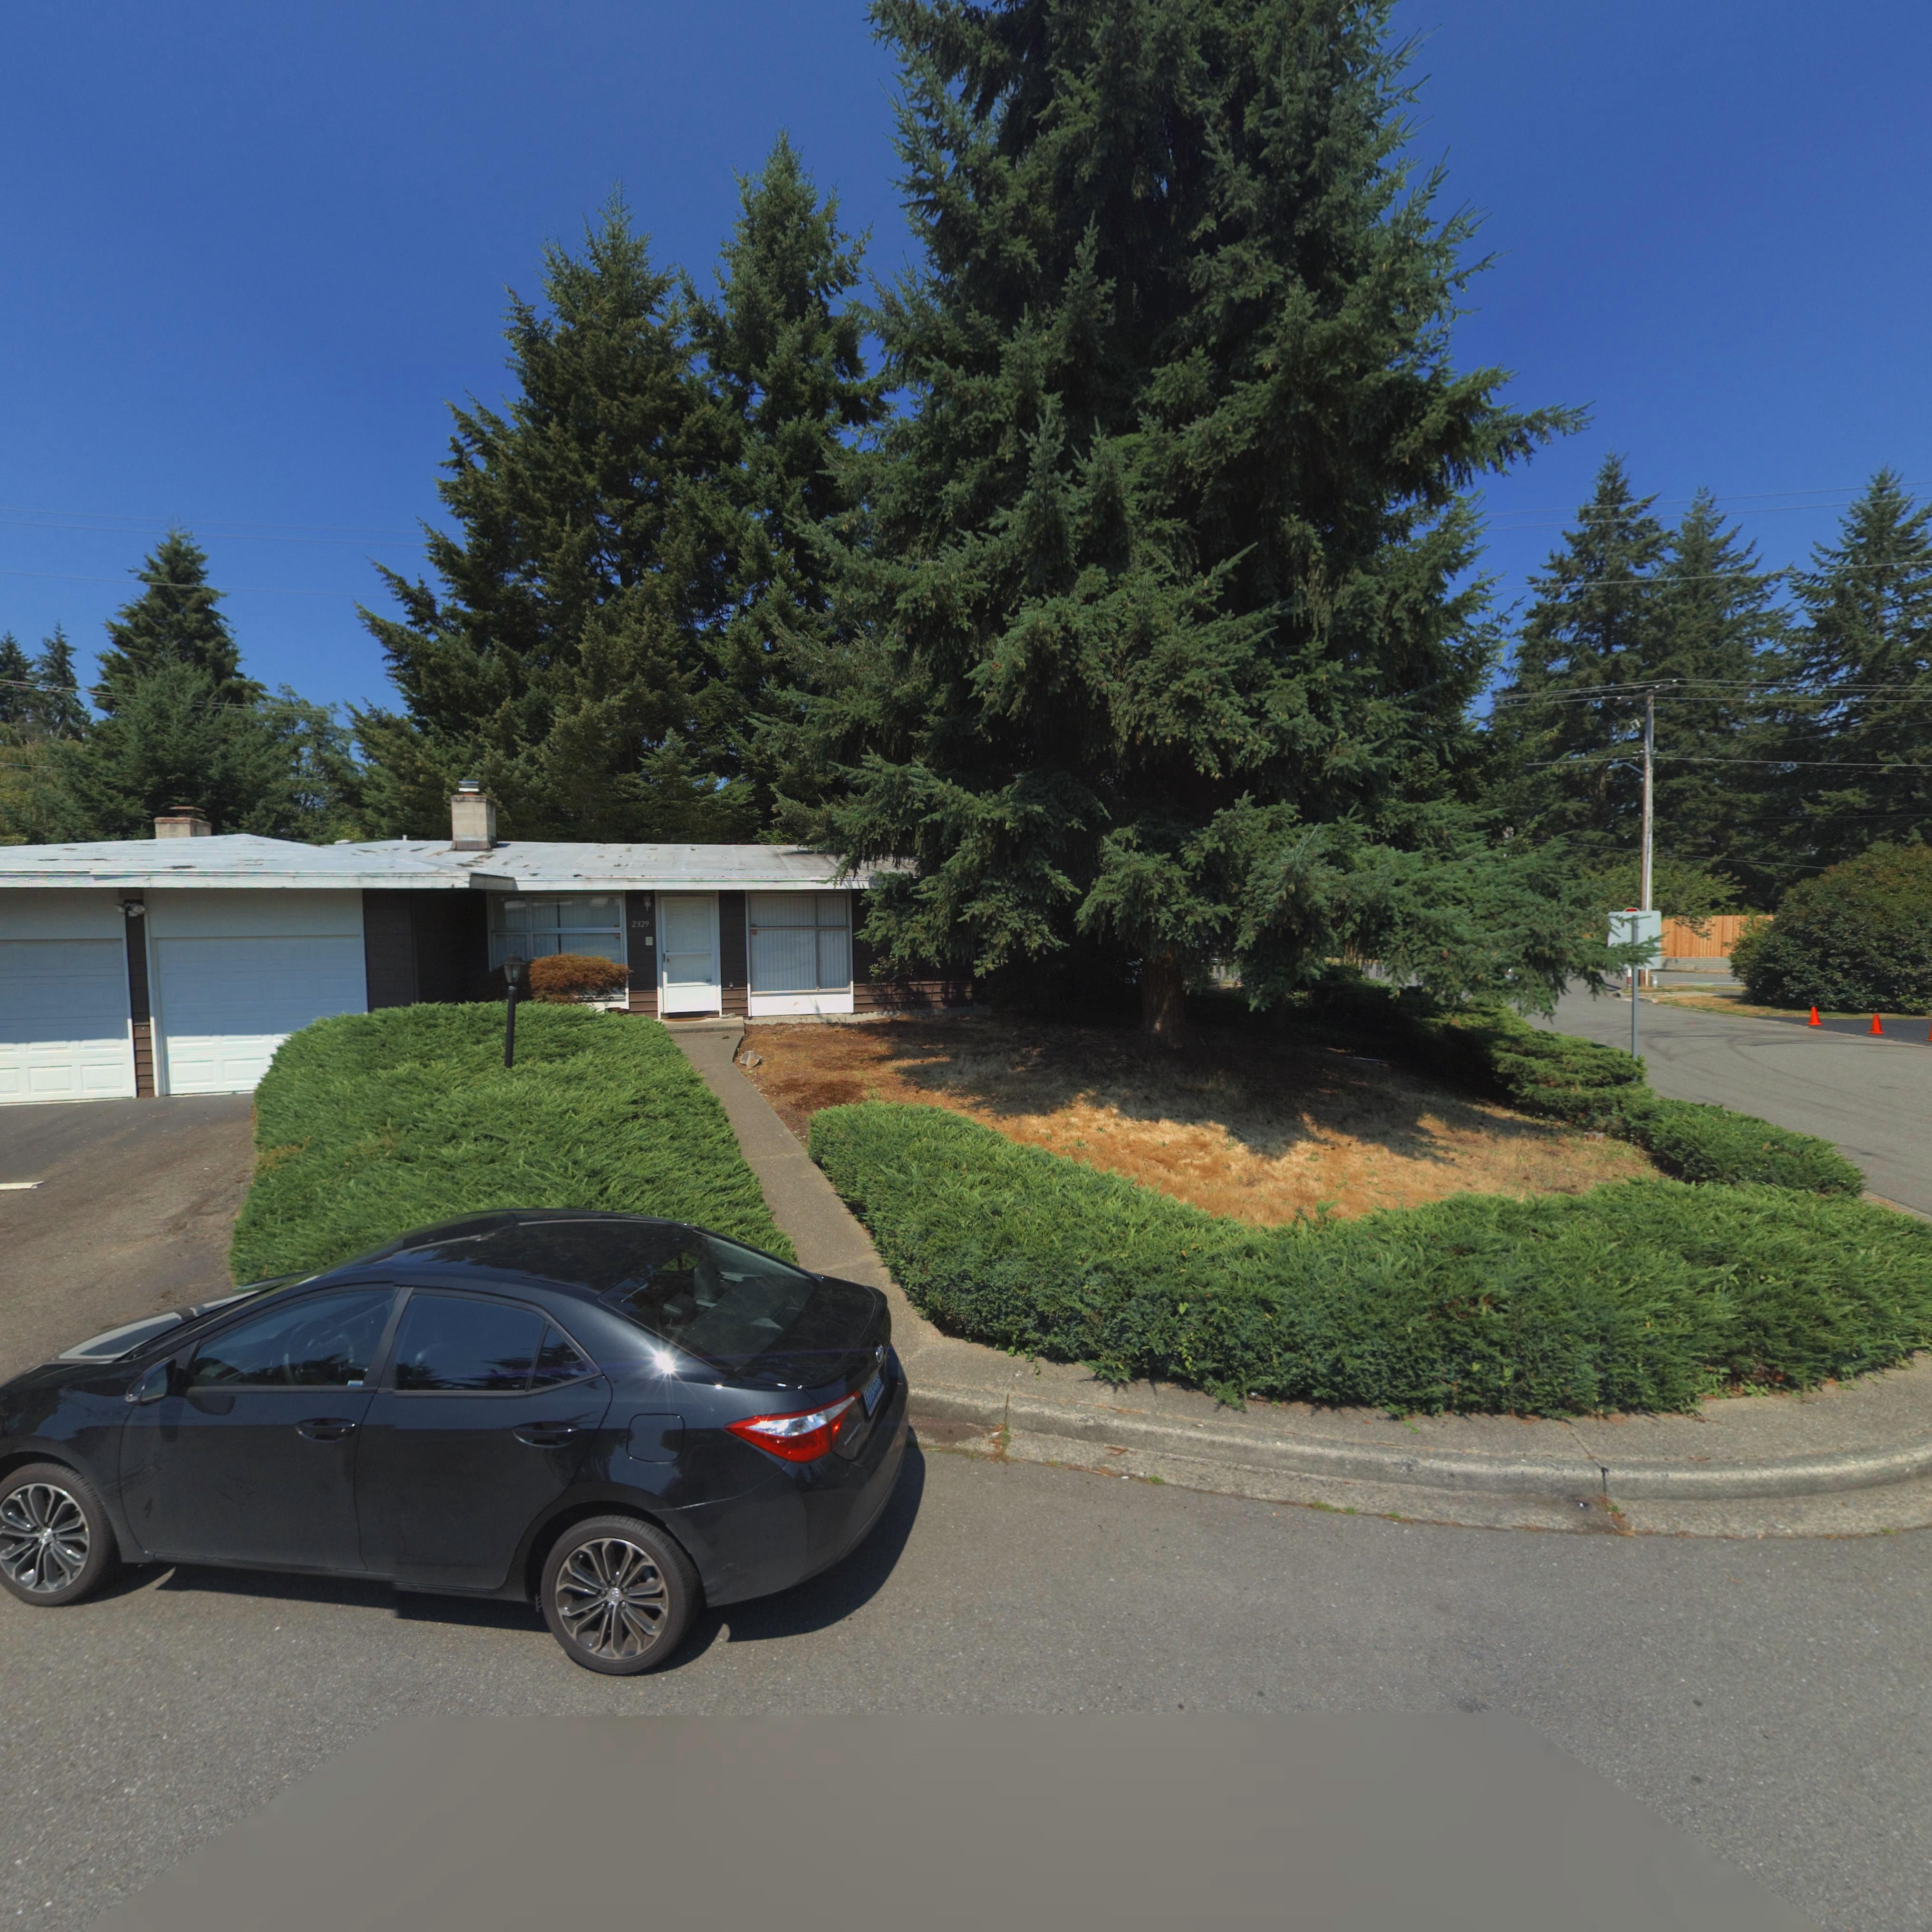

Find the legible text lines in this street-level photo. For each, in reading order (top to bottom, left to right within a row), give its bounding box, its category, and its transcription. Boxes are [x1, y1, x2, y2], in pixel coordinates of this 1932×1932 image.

[631, 920, 649, 927] StreetNumber: 2329